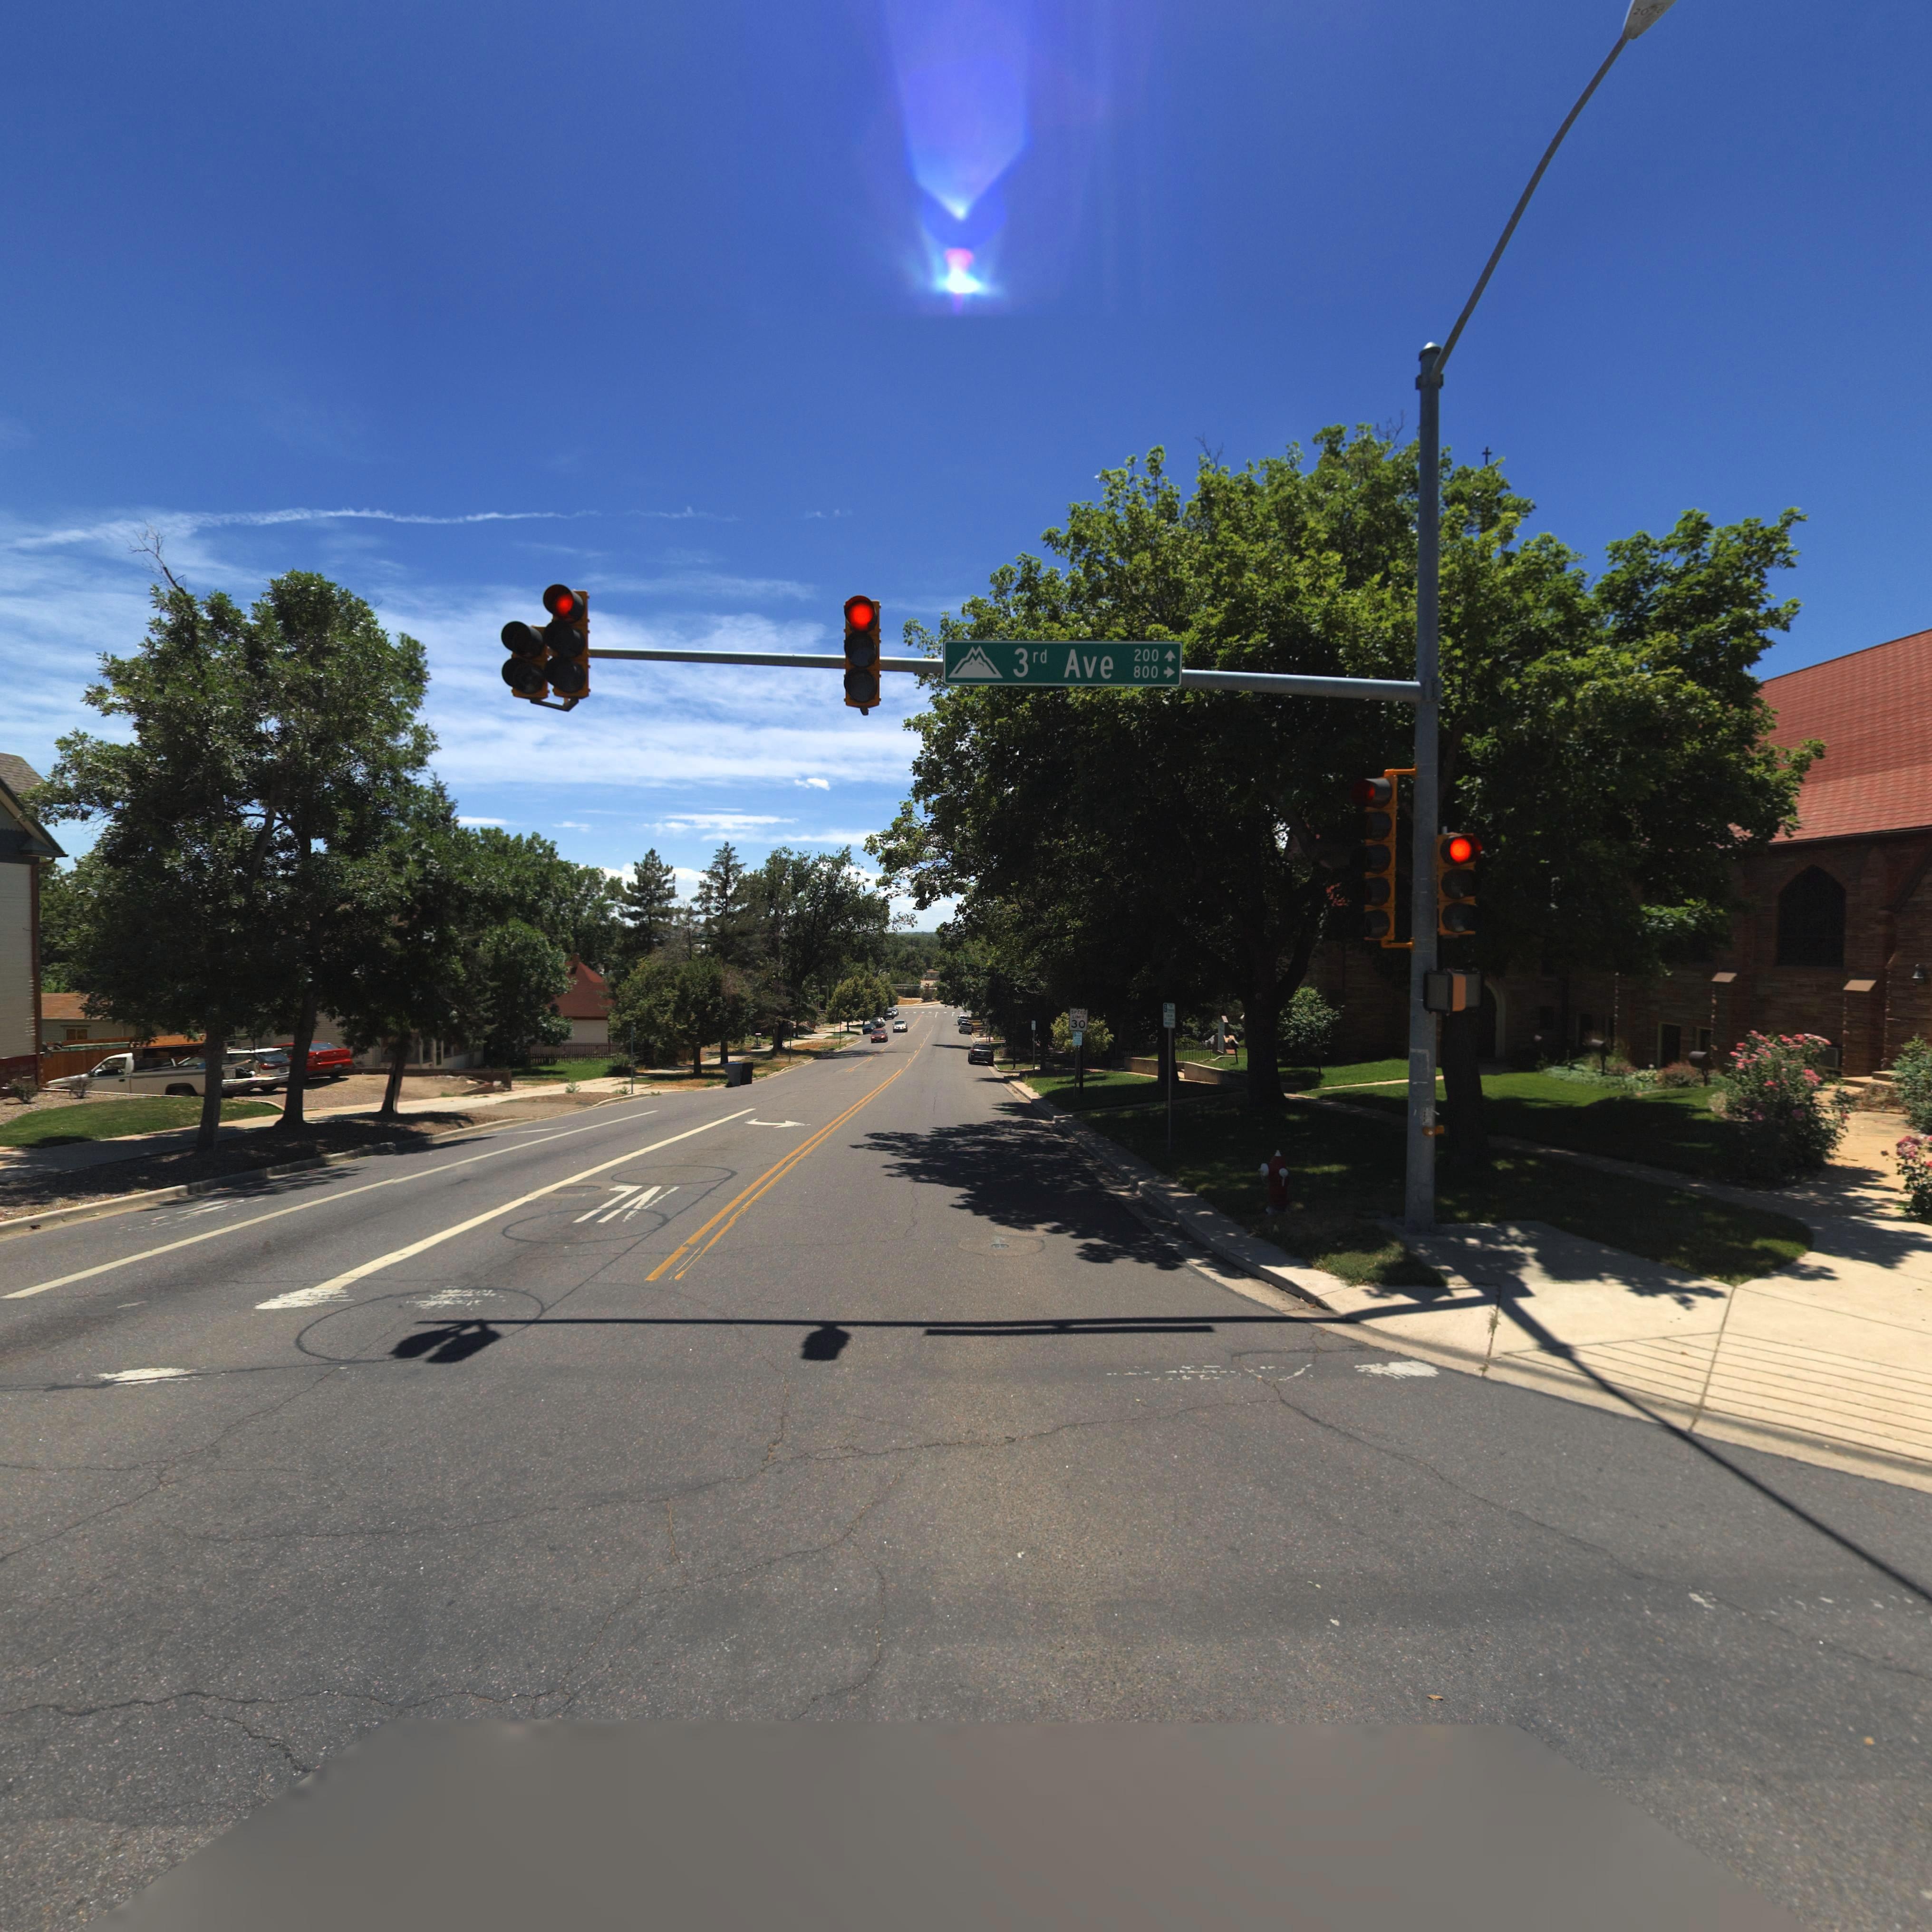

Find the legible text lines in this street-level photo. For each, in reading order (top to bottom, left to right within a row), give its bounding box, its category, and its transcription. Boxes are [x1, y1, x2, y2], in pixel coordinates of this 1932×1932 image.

[1133, 648, 1159, 662] StreetNumberRange: 200
[1013, 647, 1114, 679] StreetName: 3rd Ave
[1133, 665, 1175, 678] StreetNumberRange: 800 ->